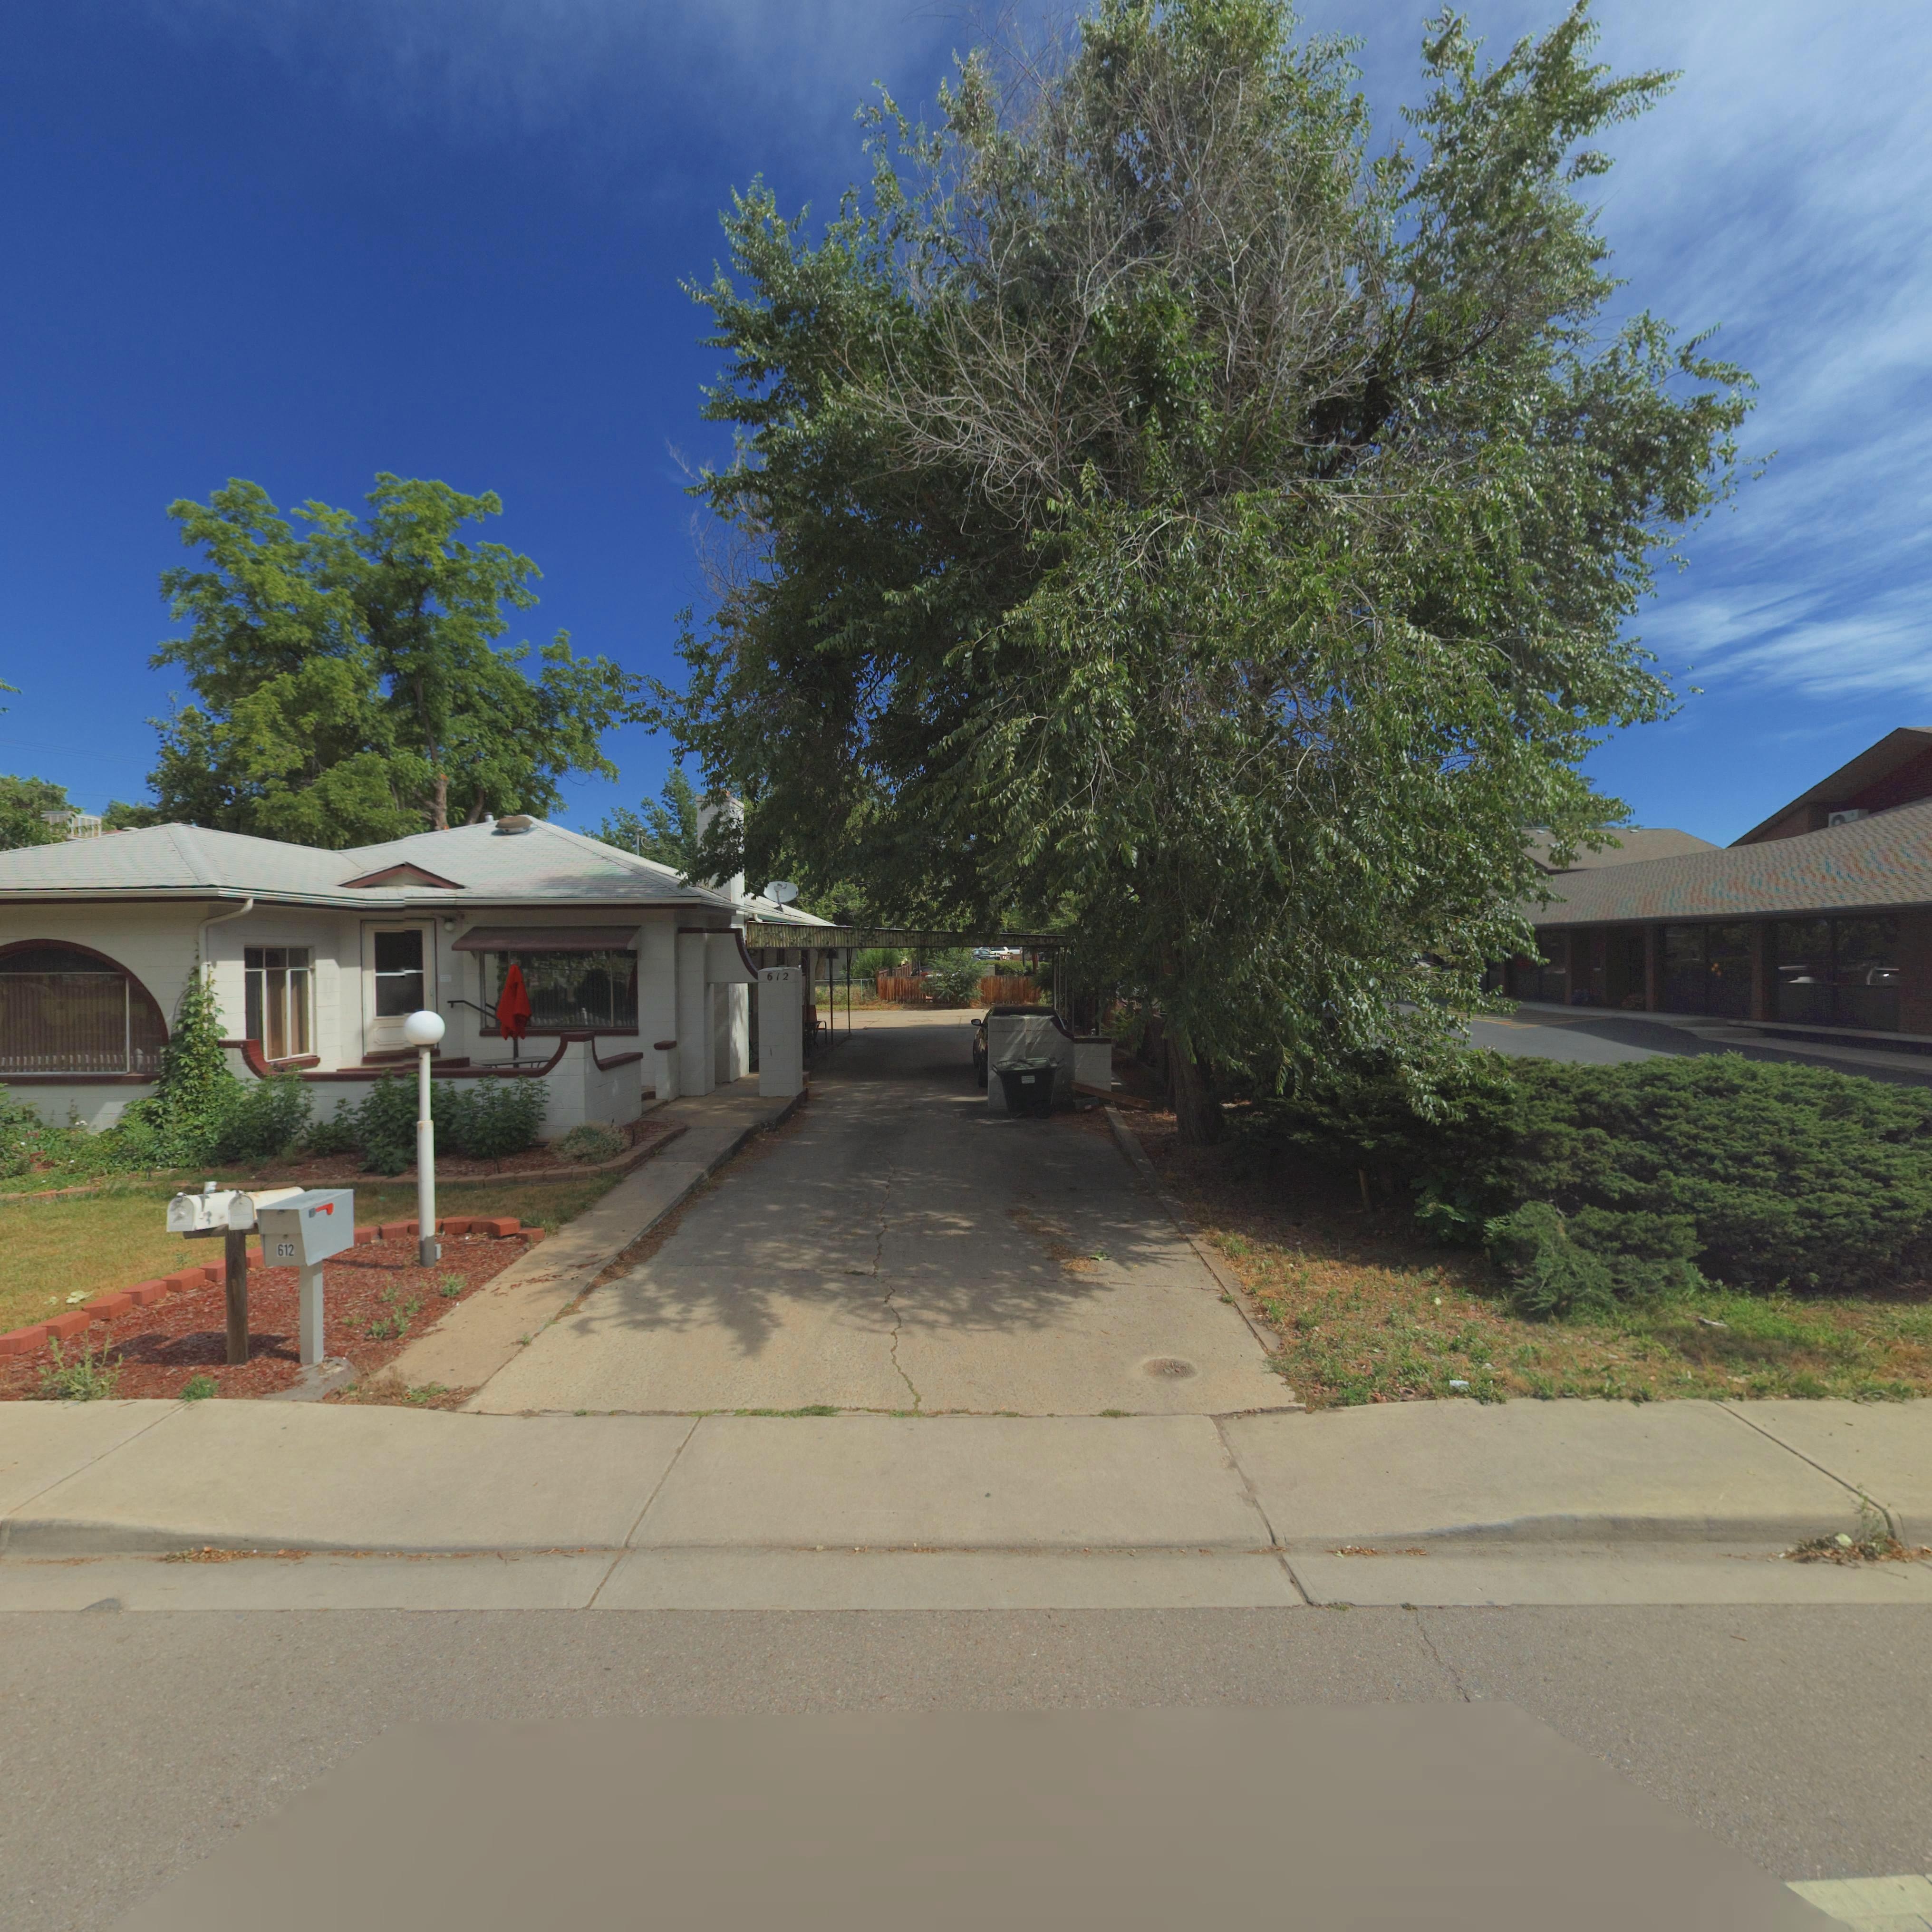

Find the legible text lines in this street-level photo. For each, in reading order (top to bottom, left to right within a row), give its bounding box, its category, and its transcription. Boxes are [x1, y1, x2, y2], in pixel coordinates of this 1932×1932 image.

[767, 972, 788, 981] StreetNumber: 612
[278, 1243, 294, 1256] StreetNumber: 612